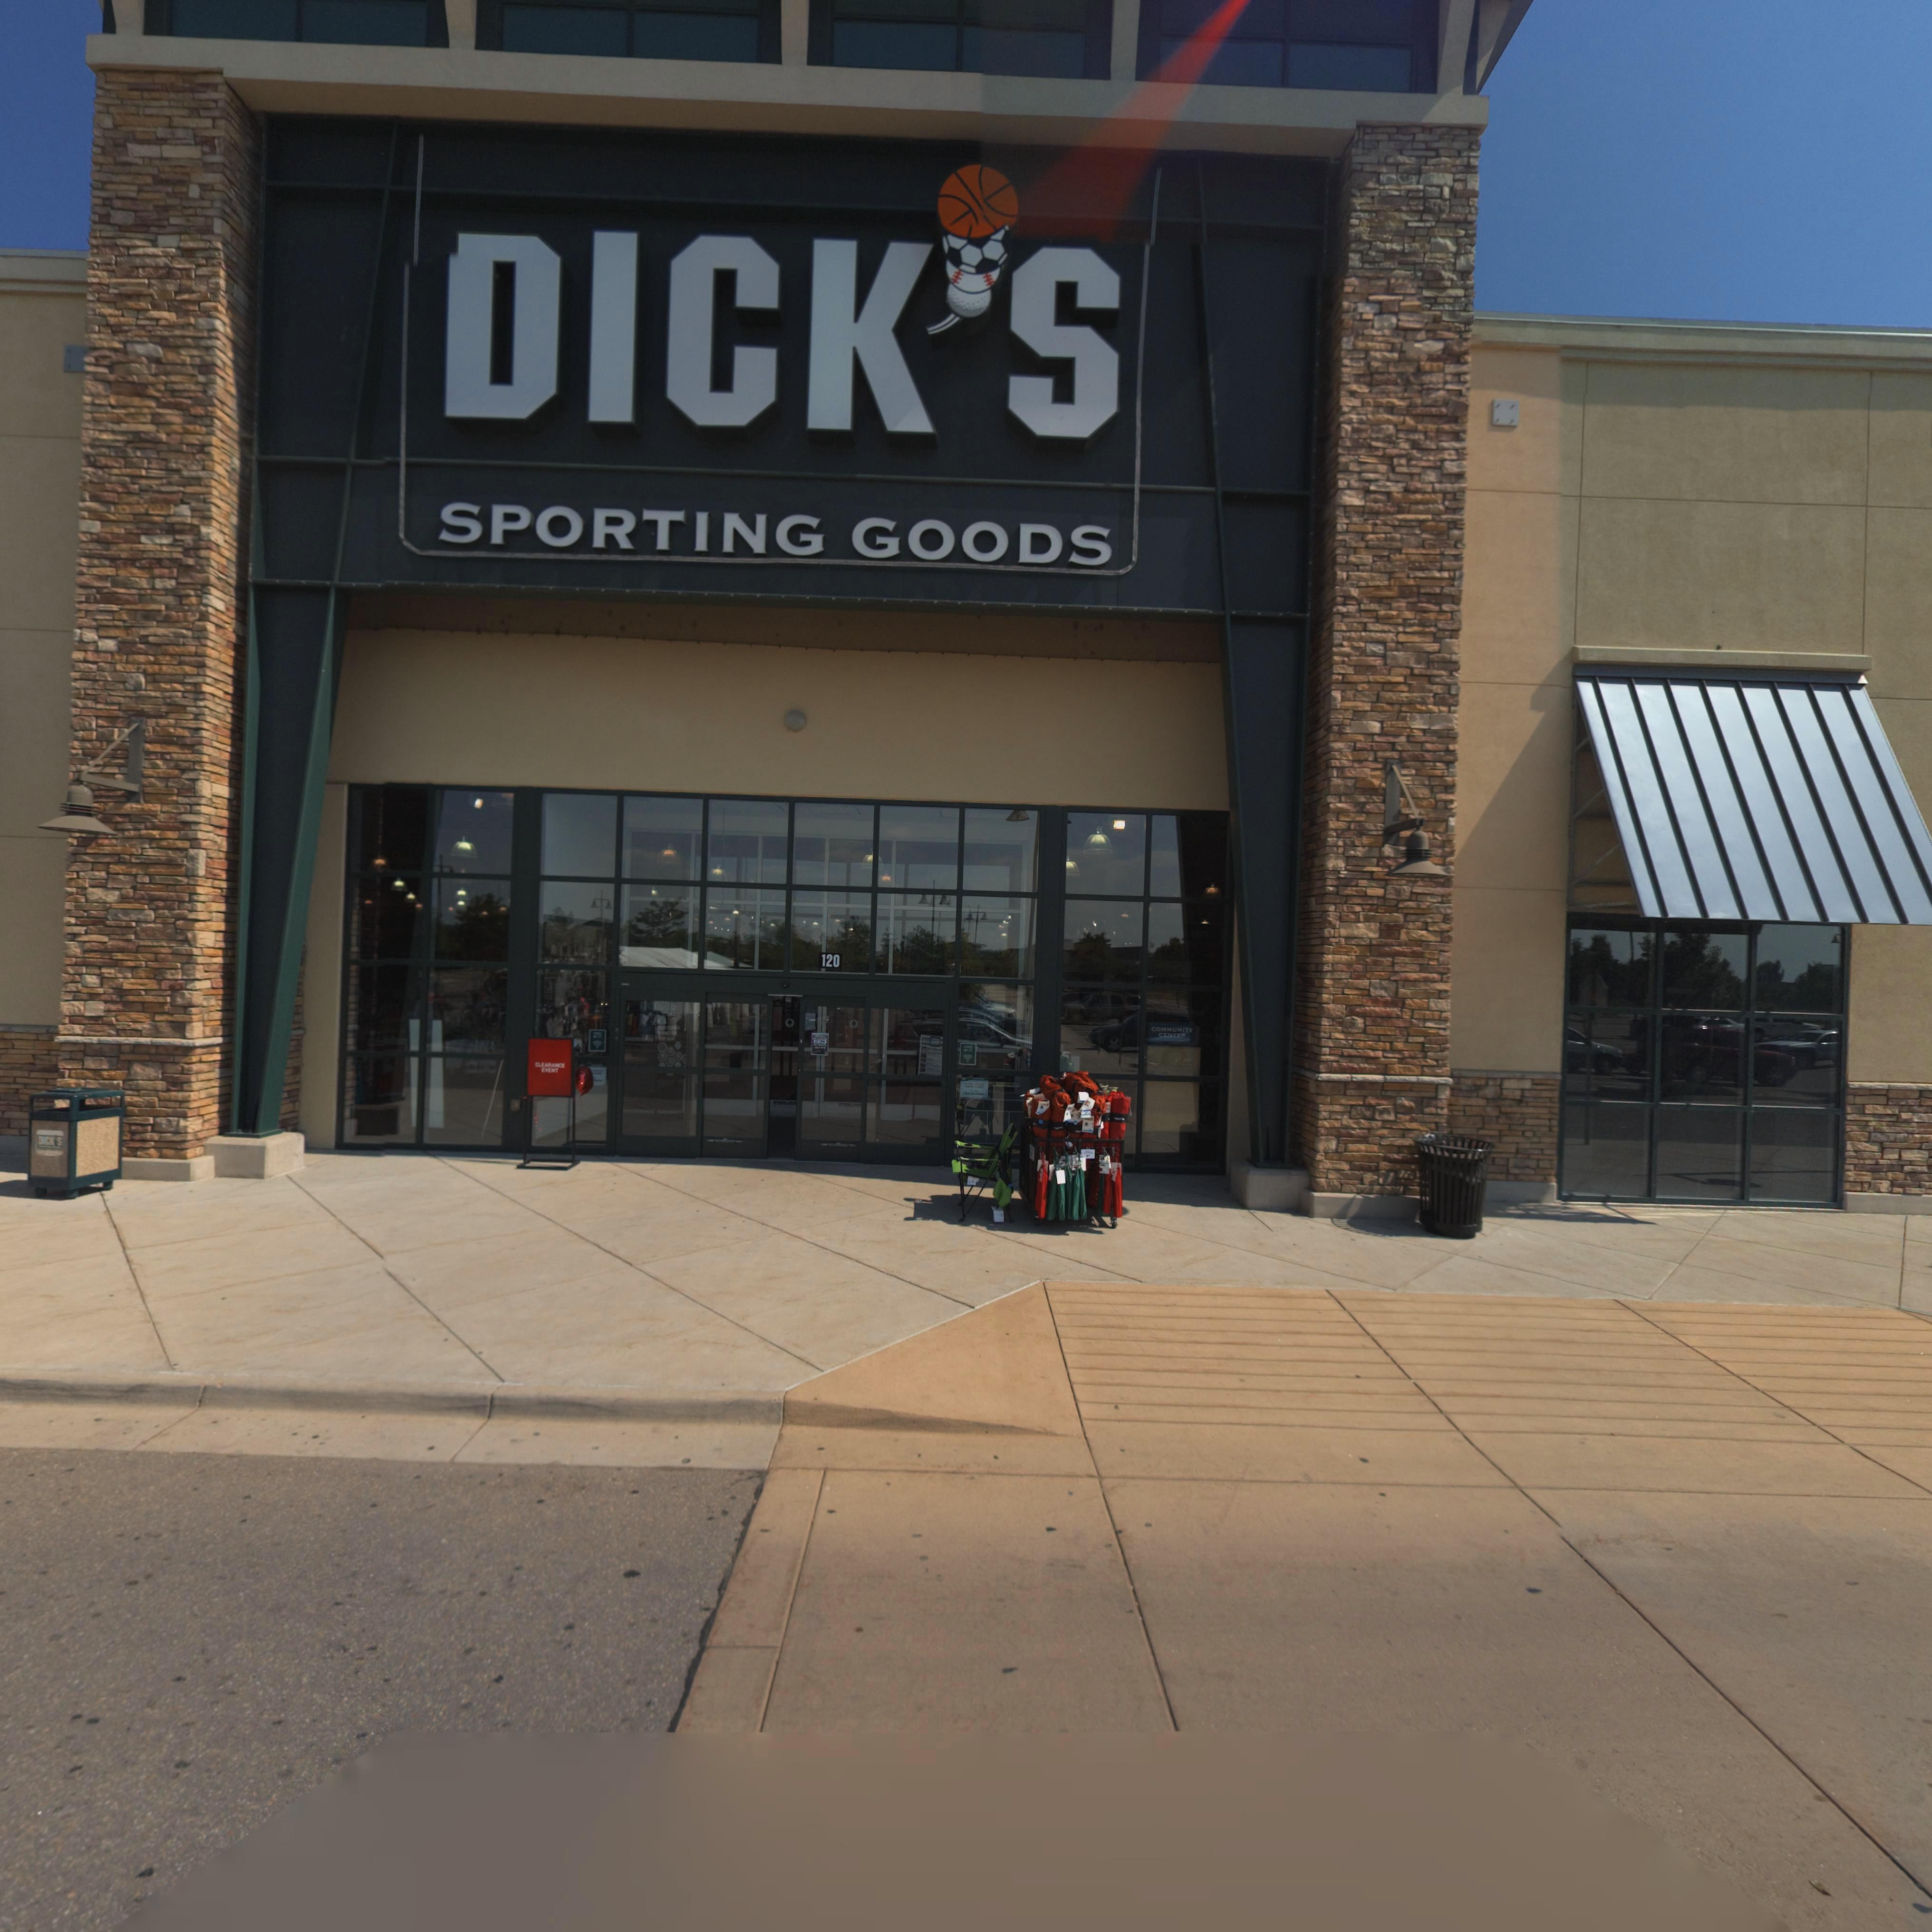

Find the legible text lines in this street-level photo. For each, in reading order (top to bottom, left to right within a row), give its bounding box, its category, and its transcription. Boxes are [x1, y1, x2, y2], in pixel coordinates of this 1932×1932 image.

[443, 165, 1122, 441] BusinessName: DICK*S
[438, 504, 1114, 567] BusinessName: SPORTING GOODS
[821, 954, 840, 967] BusinessName: 120
[38, 1136, 62, 1146] BusinessName: DICK*S